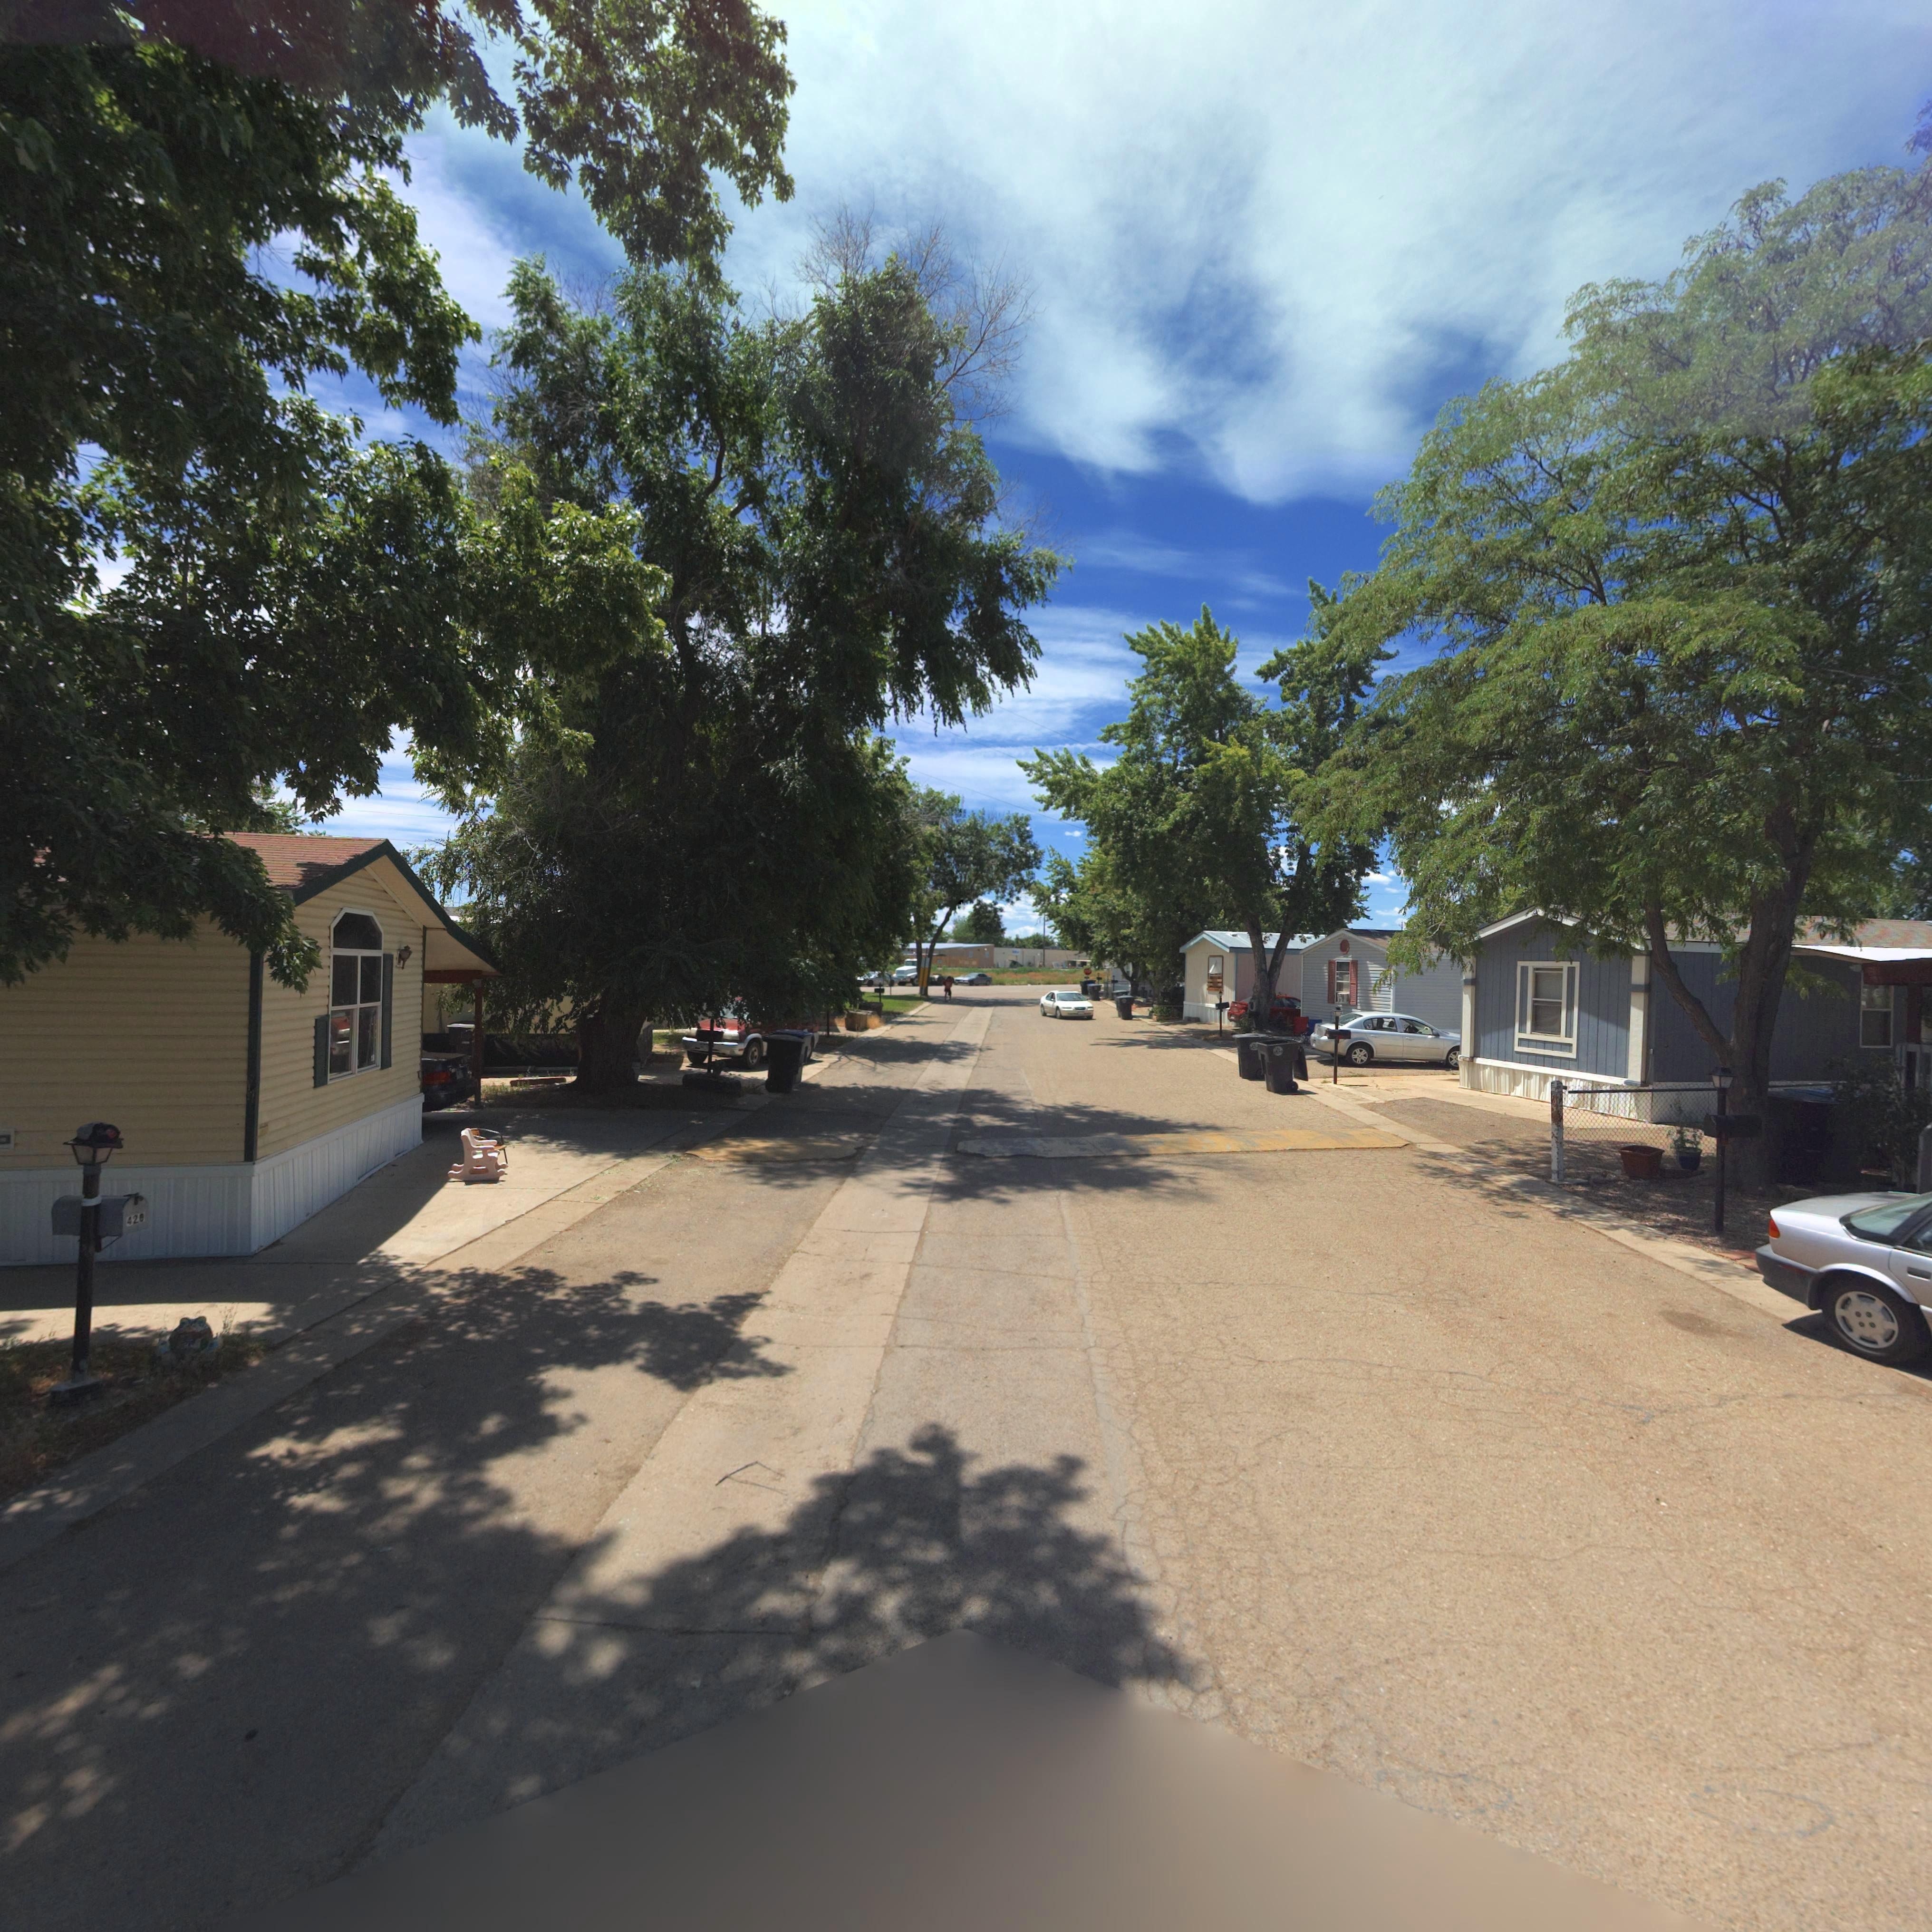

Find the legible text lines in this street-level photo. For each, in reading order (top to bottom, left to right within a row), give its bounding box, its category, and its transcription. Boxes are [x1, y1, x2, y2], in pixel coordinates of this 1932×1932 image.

[127, 1212, 144, 1225] StreetNumber: 42*